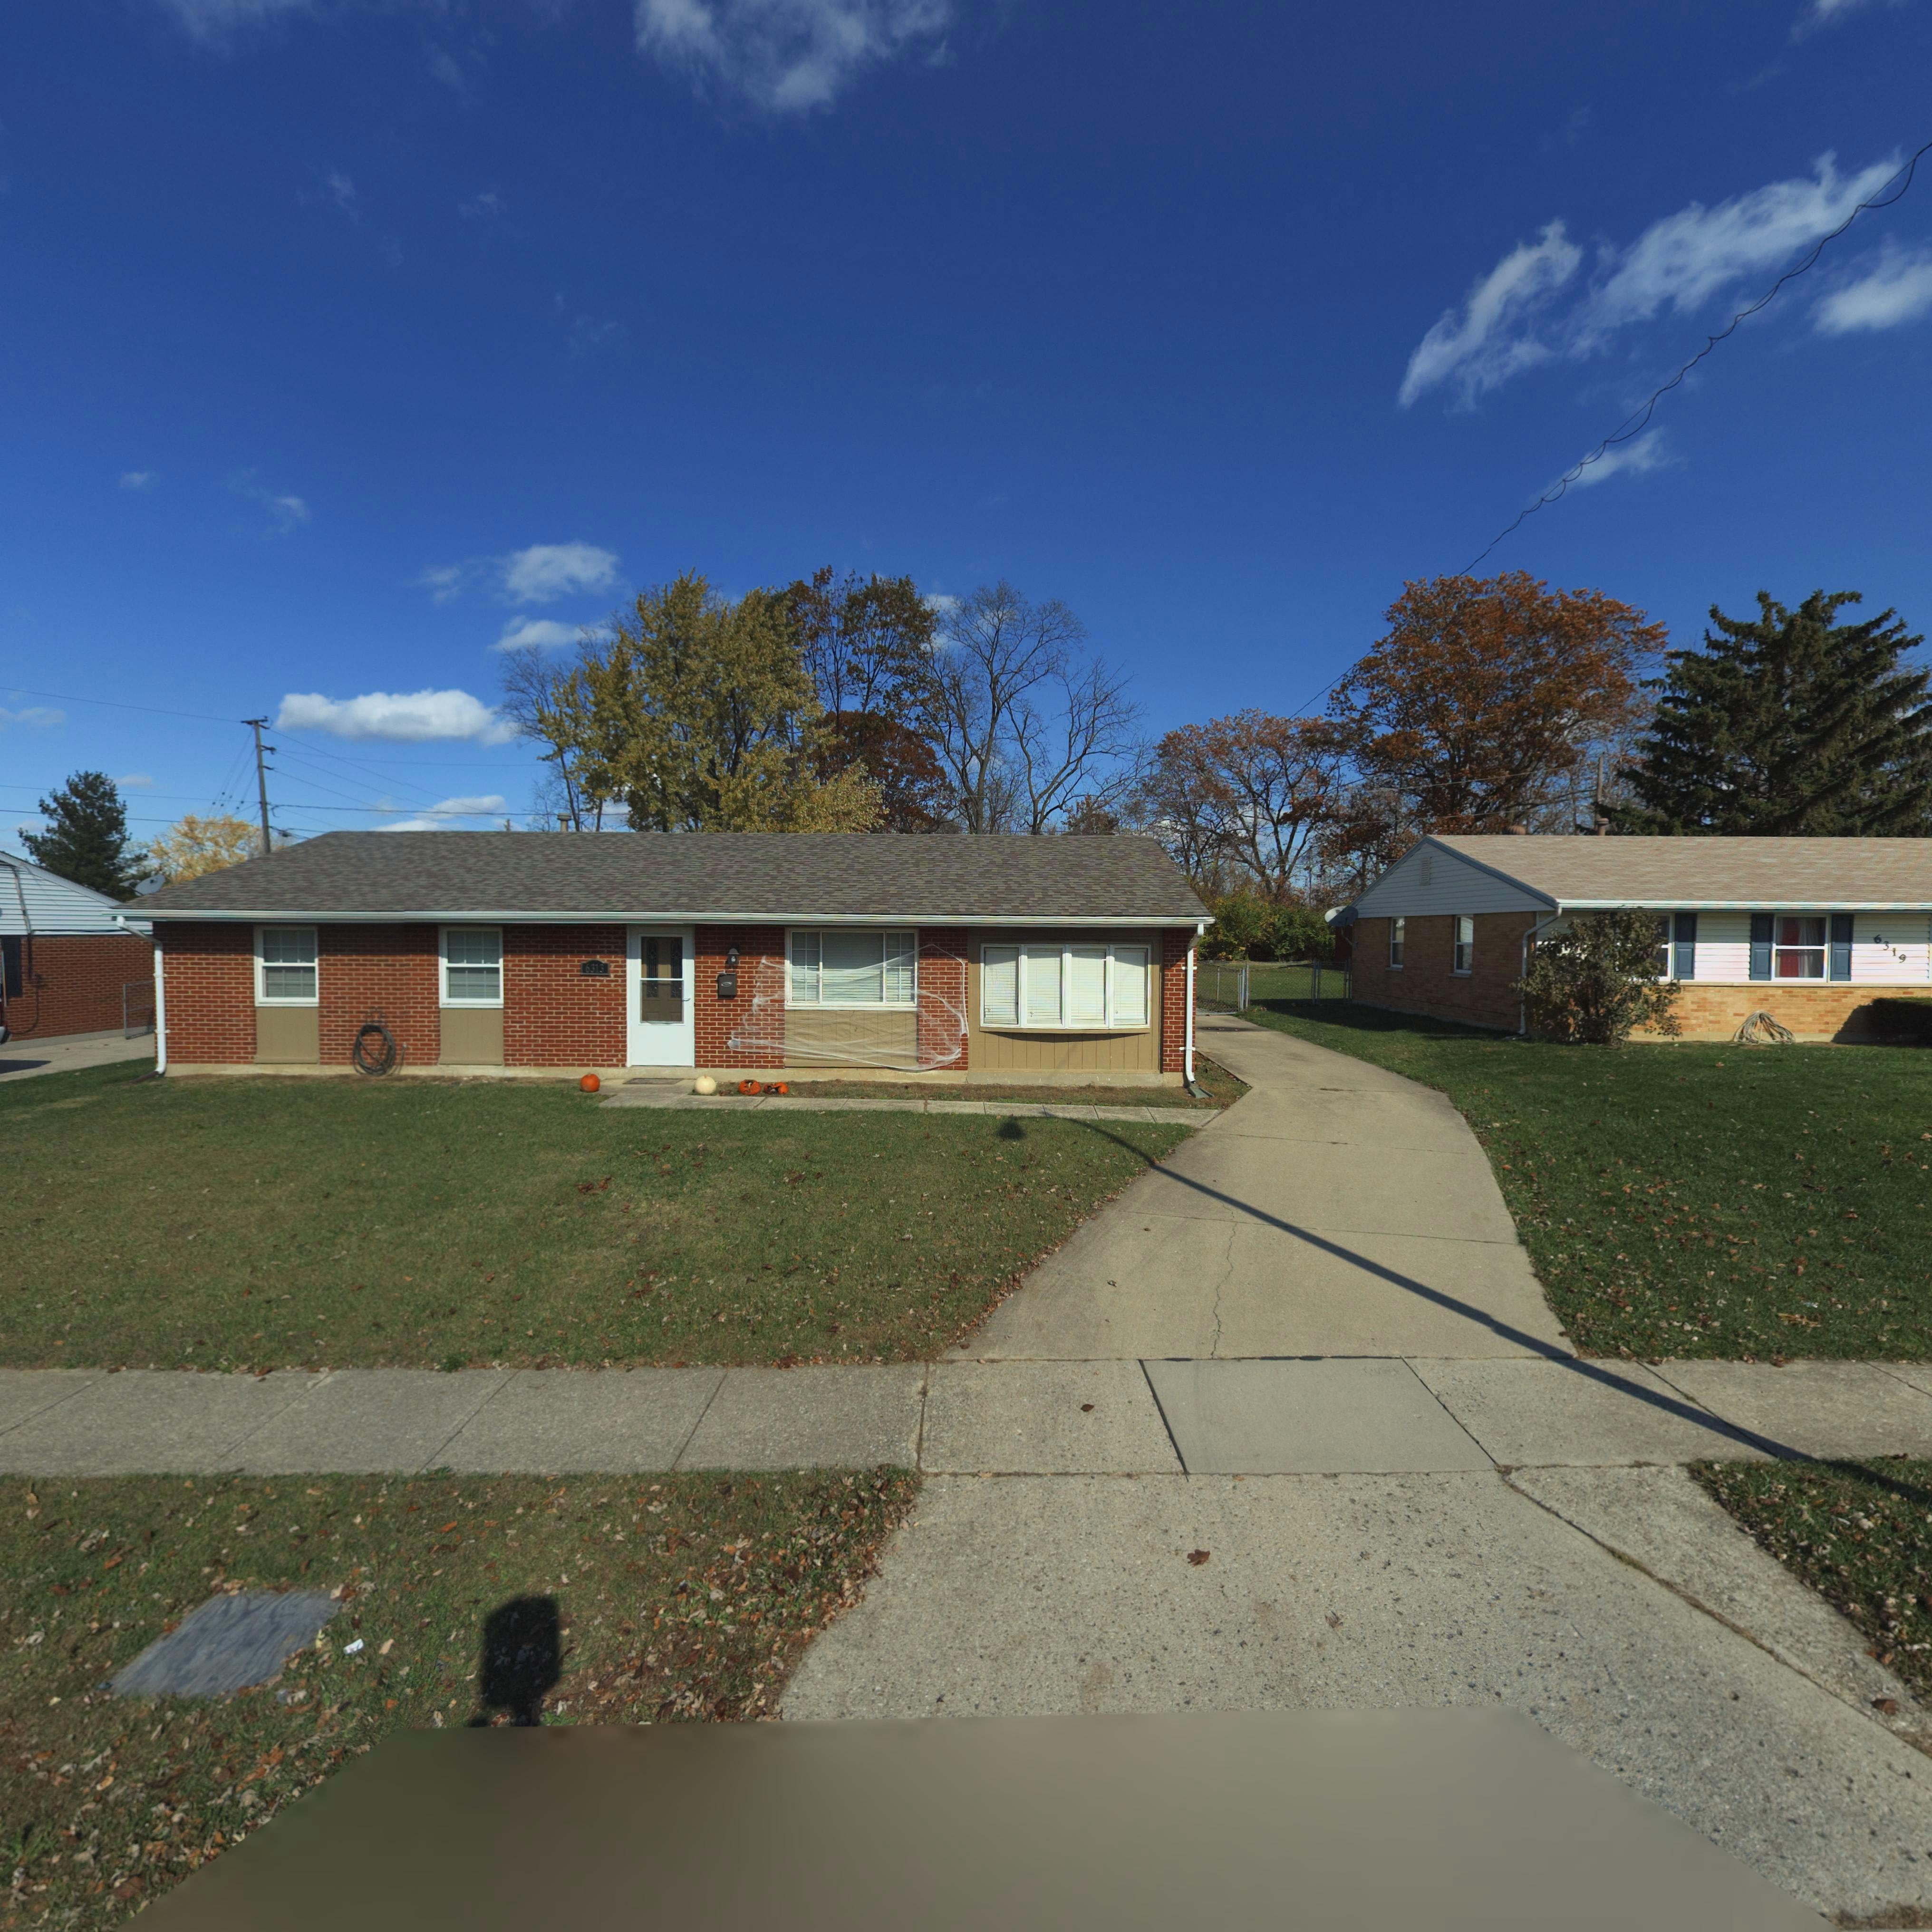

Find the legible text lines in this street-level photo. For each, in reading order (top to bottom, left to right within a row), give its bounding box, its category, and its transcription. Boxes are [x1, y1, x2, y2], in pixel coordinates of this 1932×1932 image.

[1873, 933, 1906, 964] StreetNumber: 6319
[584, 963, 605, 974] StreetNumber: 6313